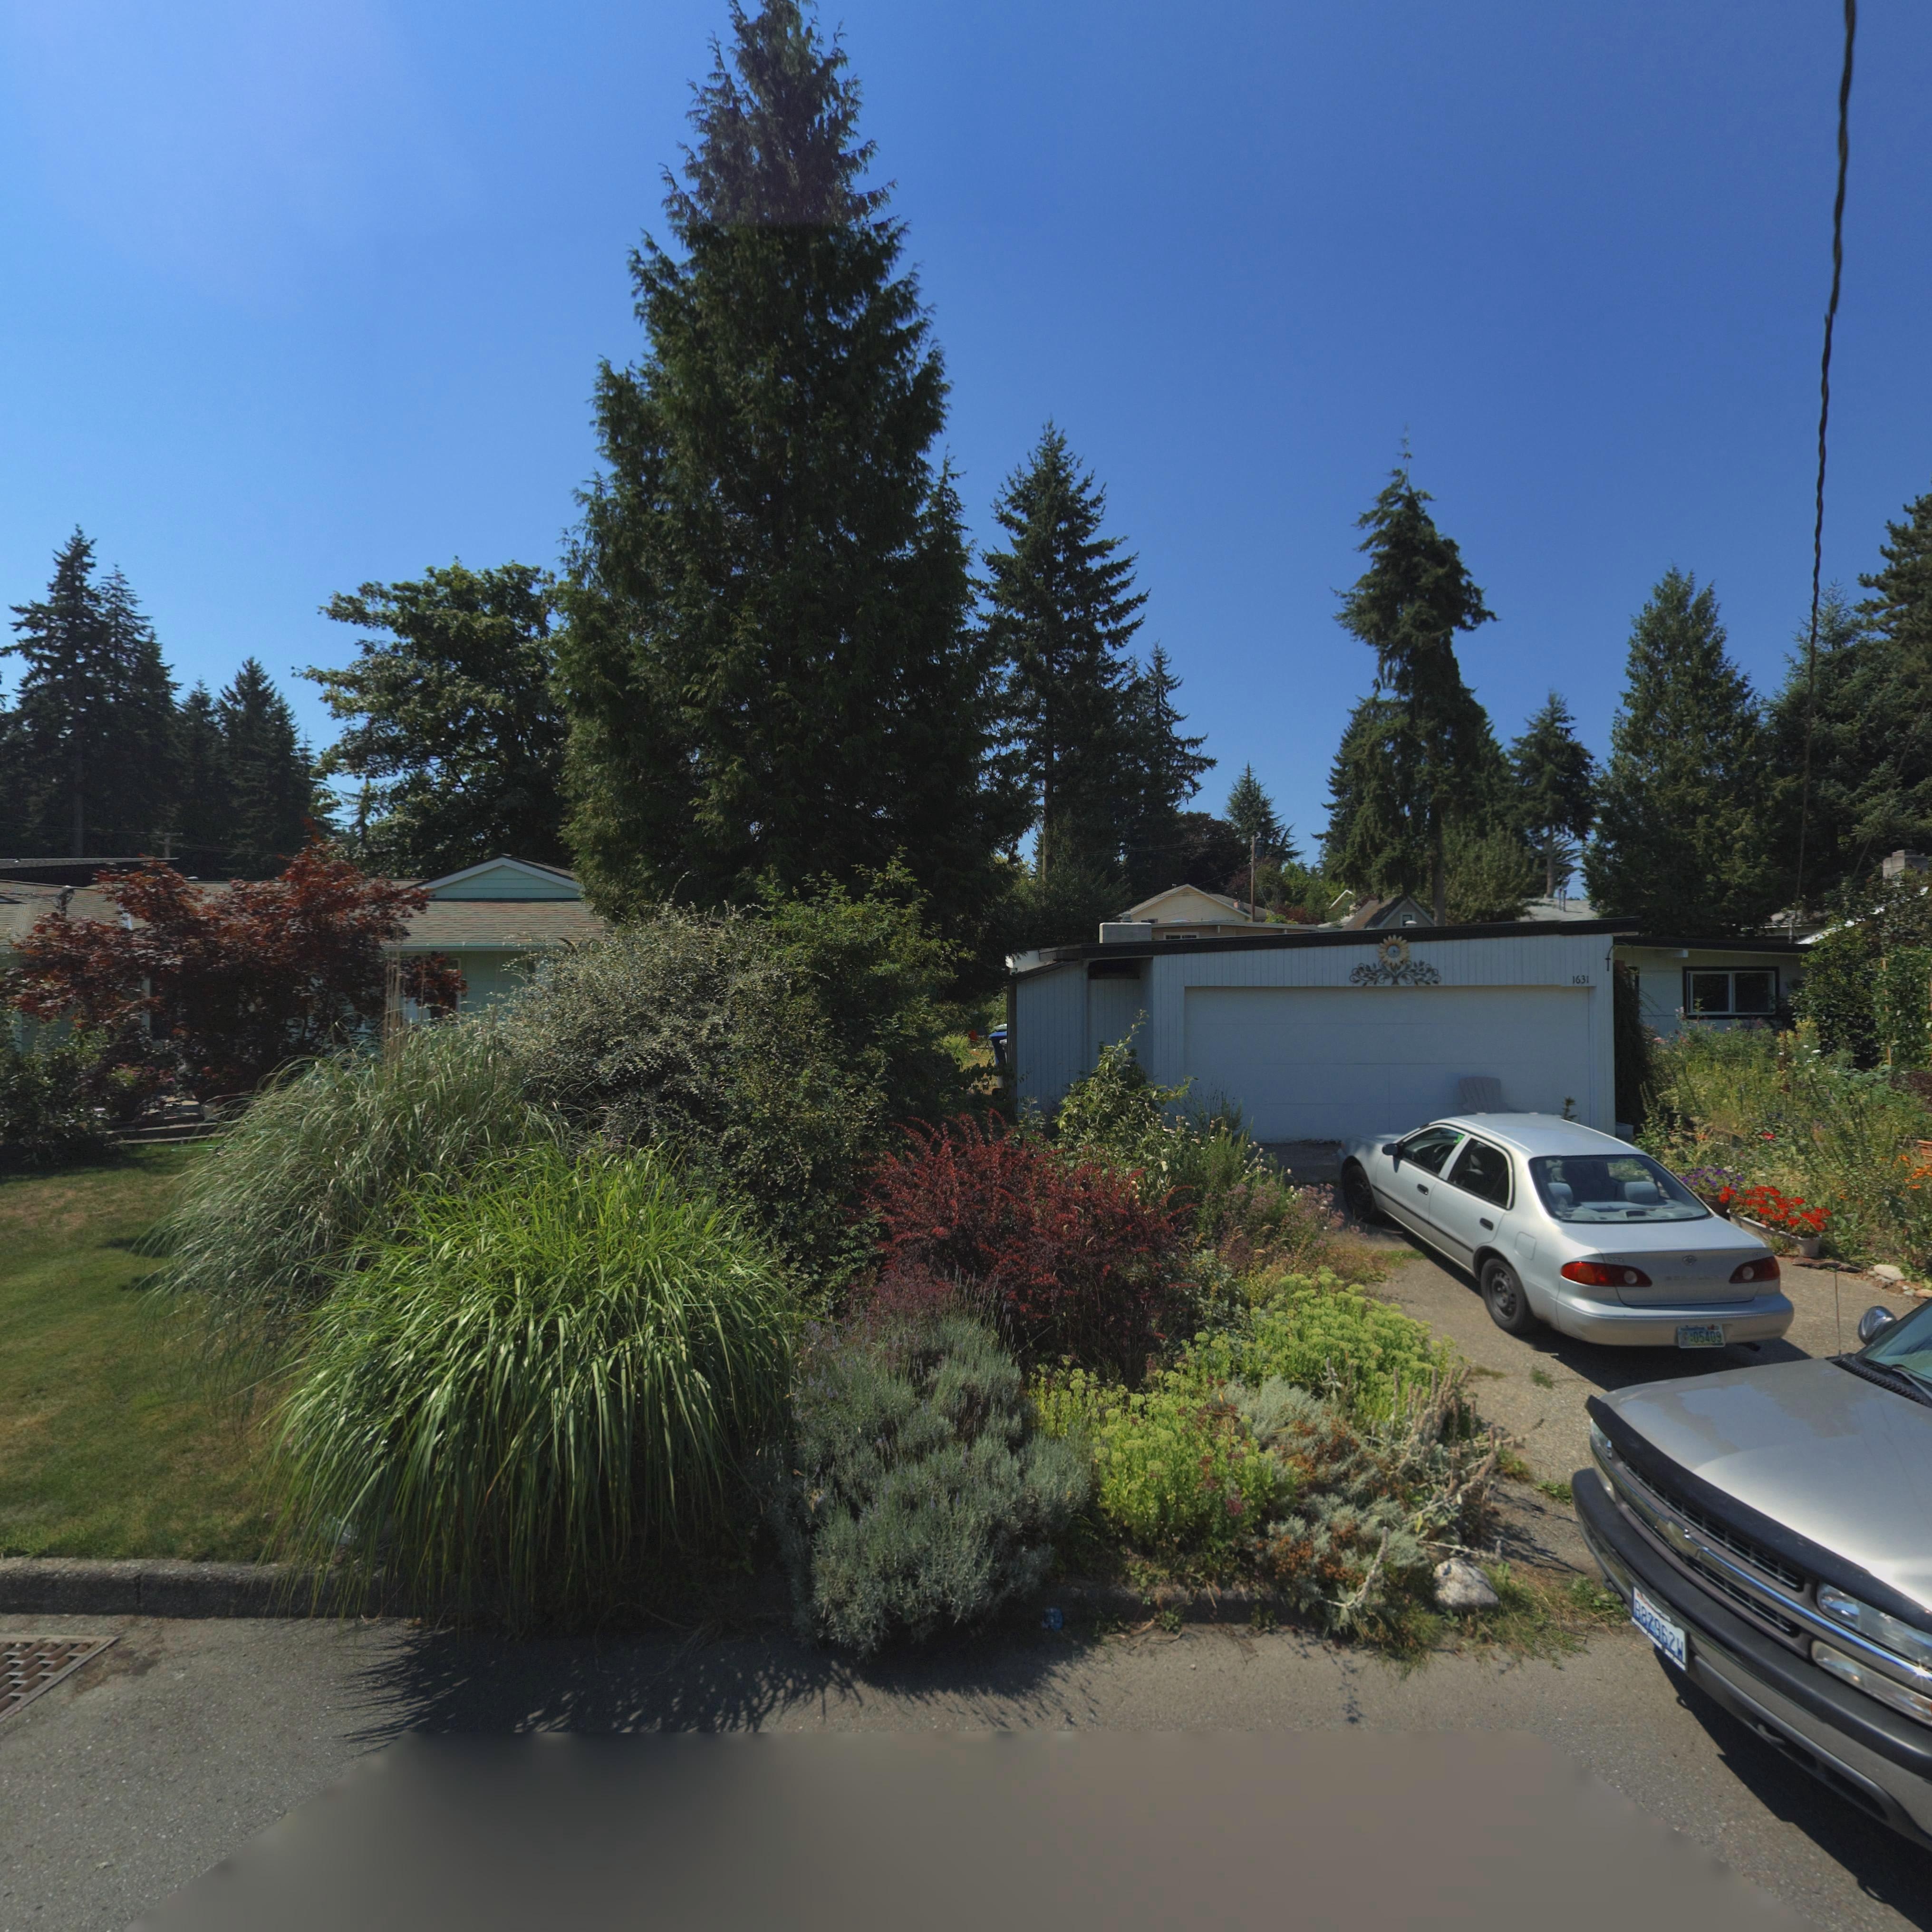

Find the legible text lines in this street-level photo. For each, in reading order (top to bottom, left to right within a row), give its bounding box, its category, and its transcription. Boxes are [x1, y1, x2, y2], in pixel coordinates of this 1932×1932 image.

[1570, 974, 1589, 985] StreetNumber: 1631